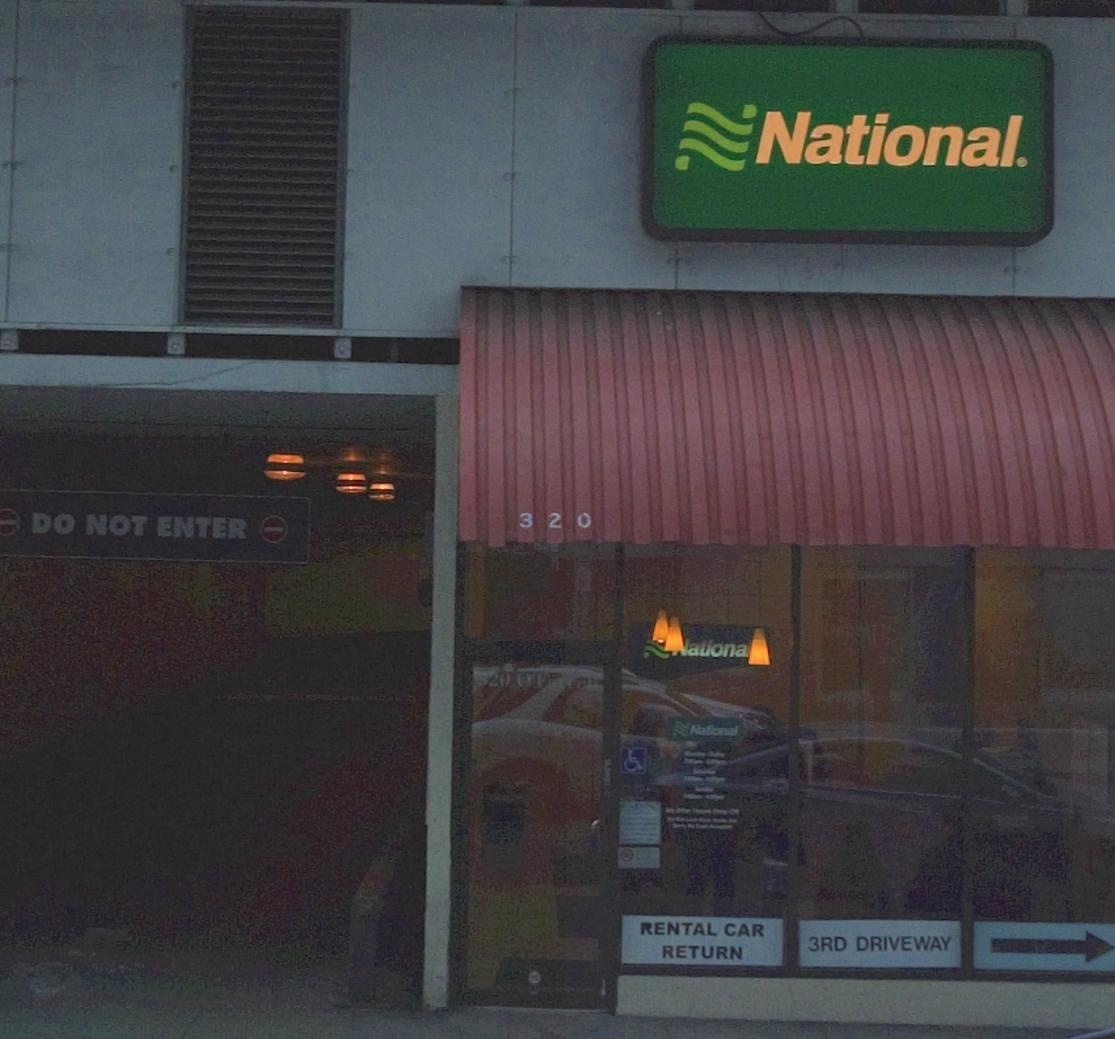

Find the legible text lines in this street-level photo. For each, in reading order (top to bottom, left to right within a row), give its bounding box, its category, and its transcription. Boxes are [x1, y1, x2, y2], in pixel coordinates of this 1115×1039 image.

[748, 104, 1032, 173] BusinessName: National
[27, 505, 253, 544] None: DO NOT ENTER
[513, 508, 598, 532] StreetNumber: 320
[683, 636, 752, 661] BusinessName: ationa
[684, 720, 743, 740] None: National
[635, 916, 771, 944] None: RENTAL CAR
[658, 941, 747, 964] None: RETURN
[805, 931, 956, 956] None: 3RD DRIVEWAY